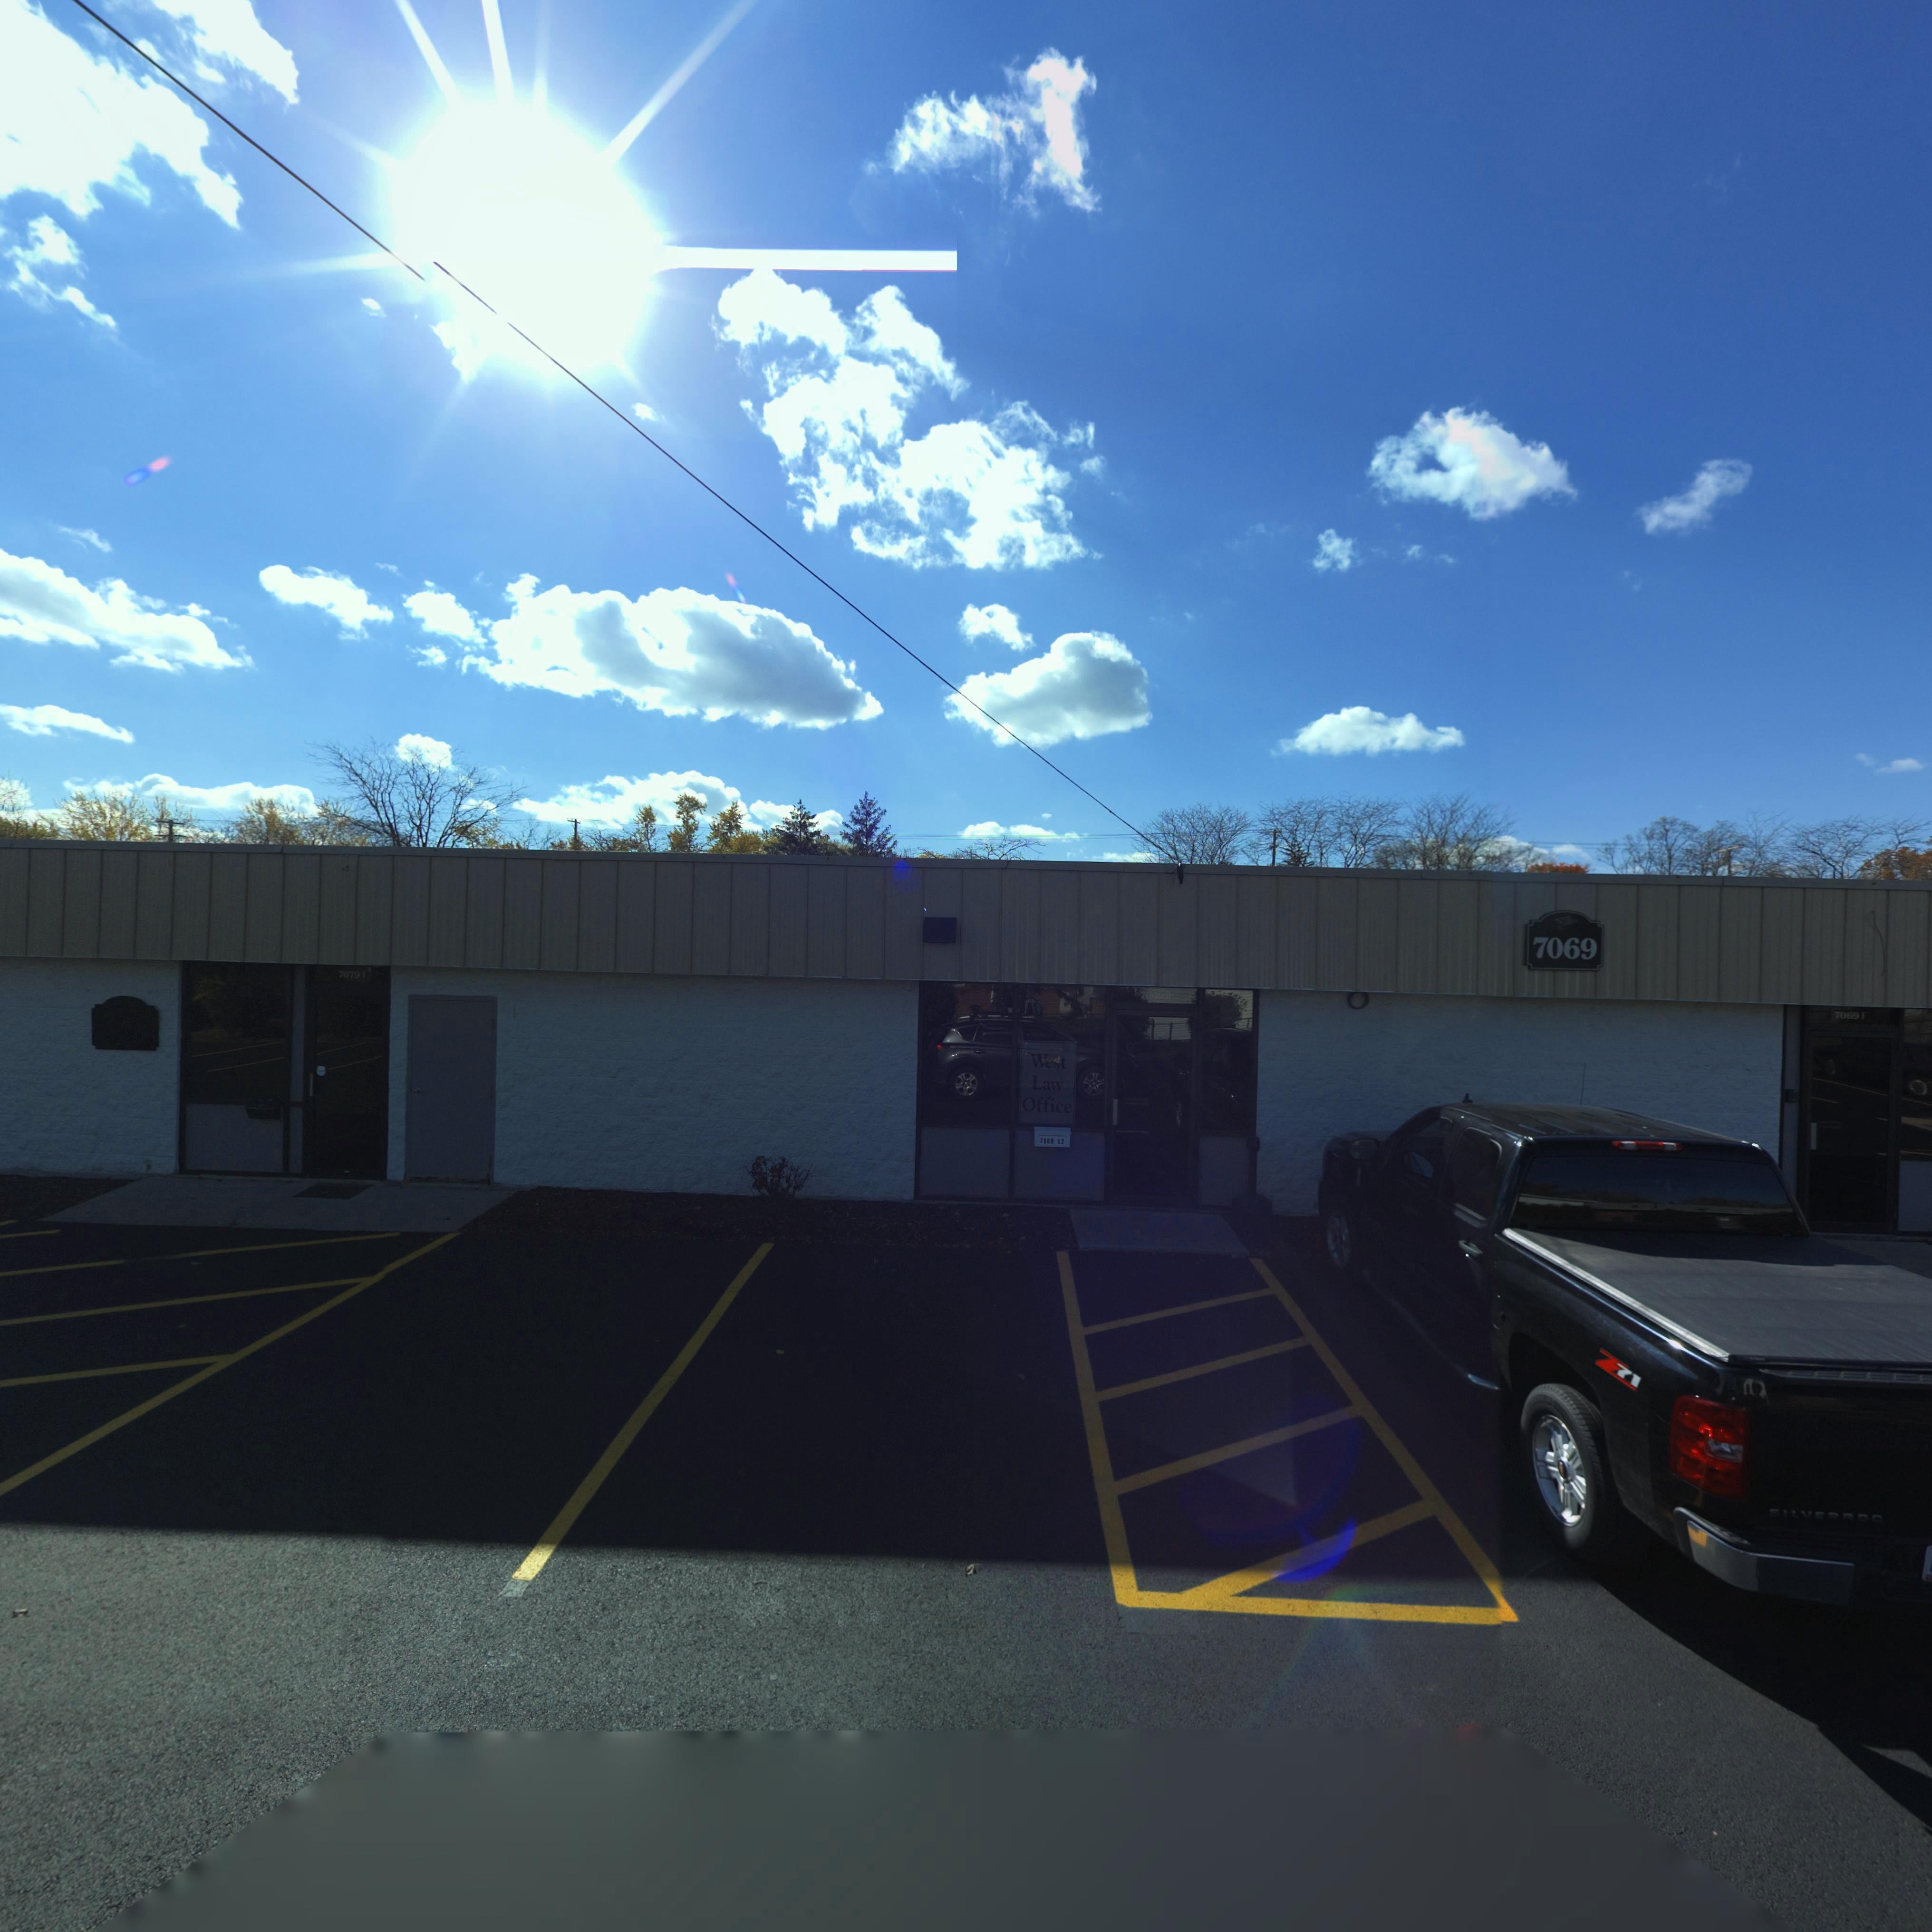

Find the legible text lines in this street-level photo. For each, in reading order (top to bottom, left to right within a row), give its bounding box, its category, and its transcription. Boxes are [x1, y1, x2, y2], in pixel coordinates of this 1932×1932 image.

[1531, 936, 1600, 961] StreetNumber: 7069
[337, 969, 368, 980] StreetNumber: 7079 *
[1833, 1010, 1867, 1021] StreetNumber: 7069 *
[1038, 1137, 1055, 1145] StreetNumber: 7069
[1056, 1138, 1065, 1145] StreetNumber: *2